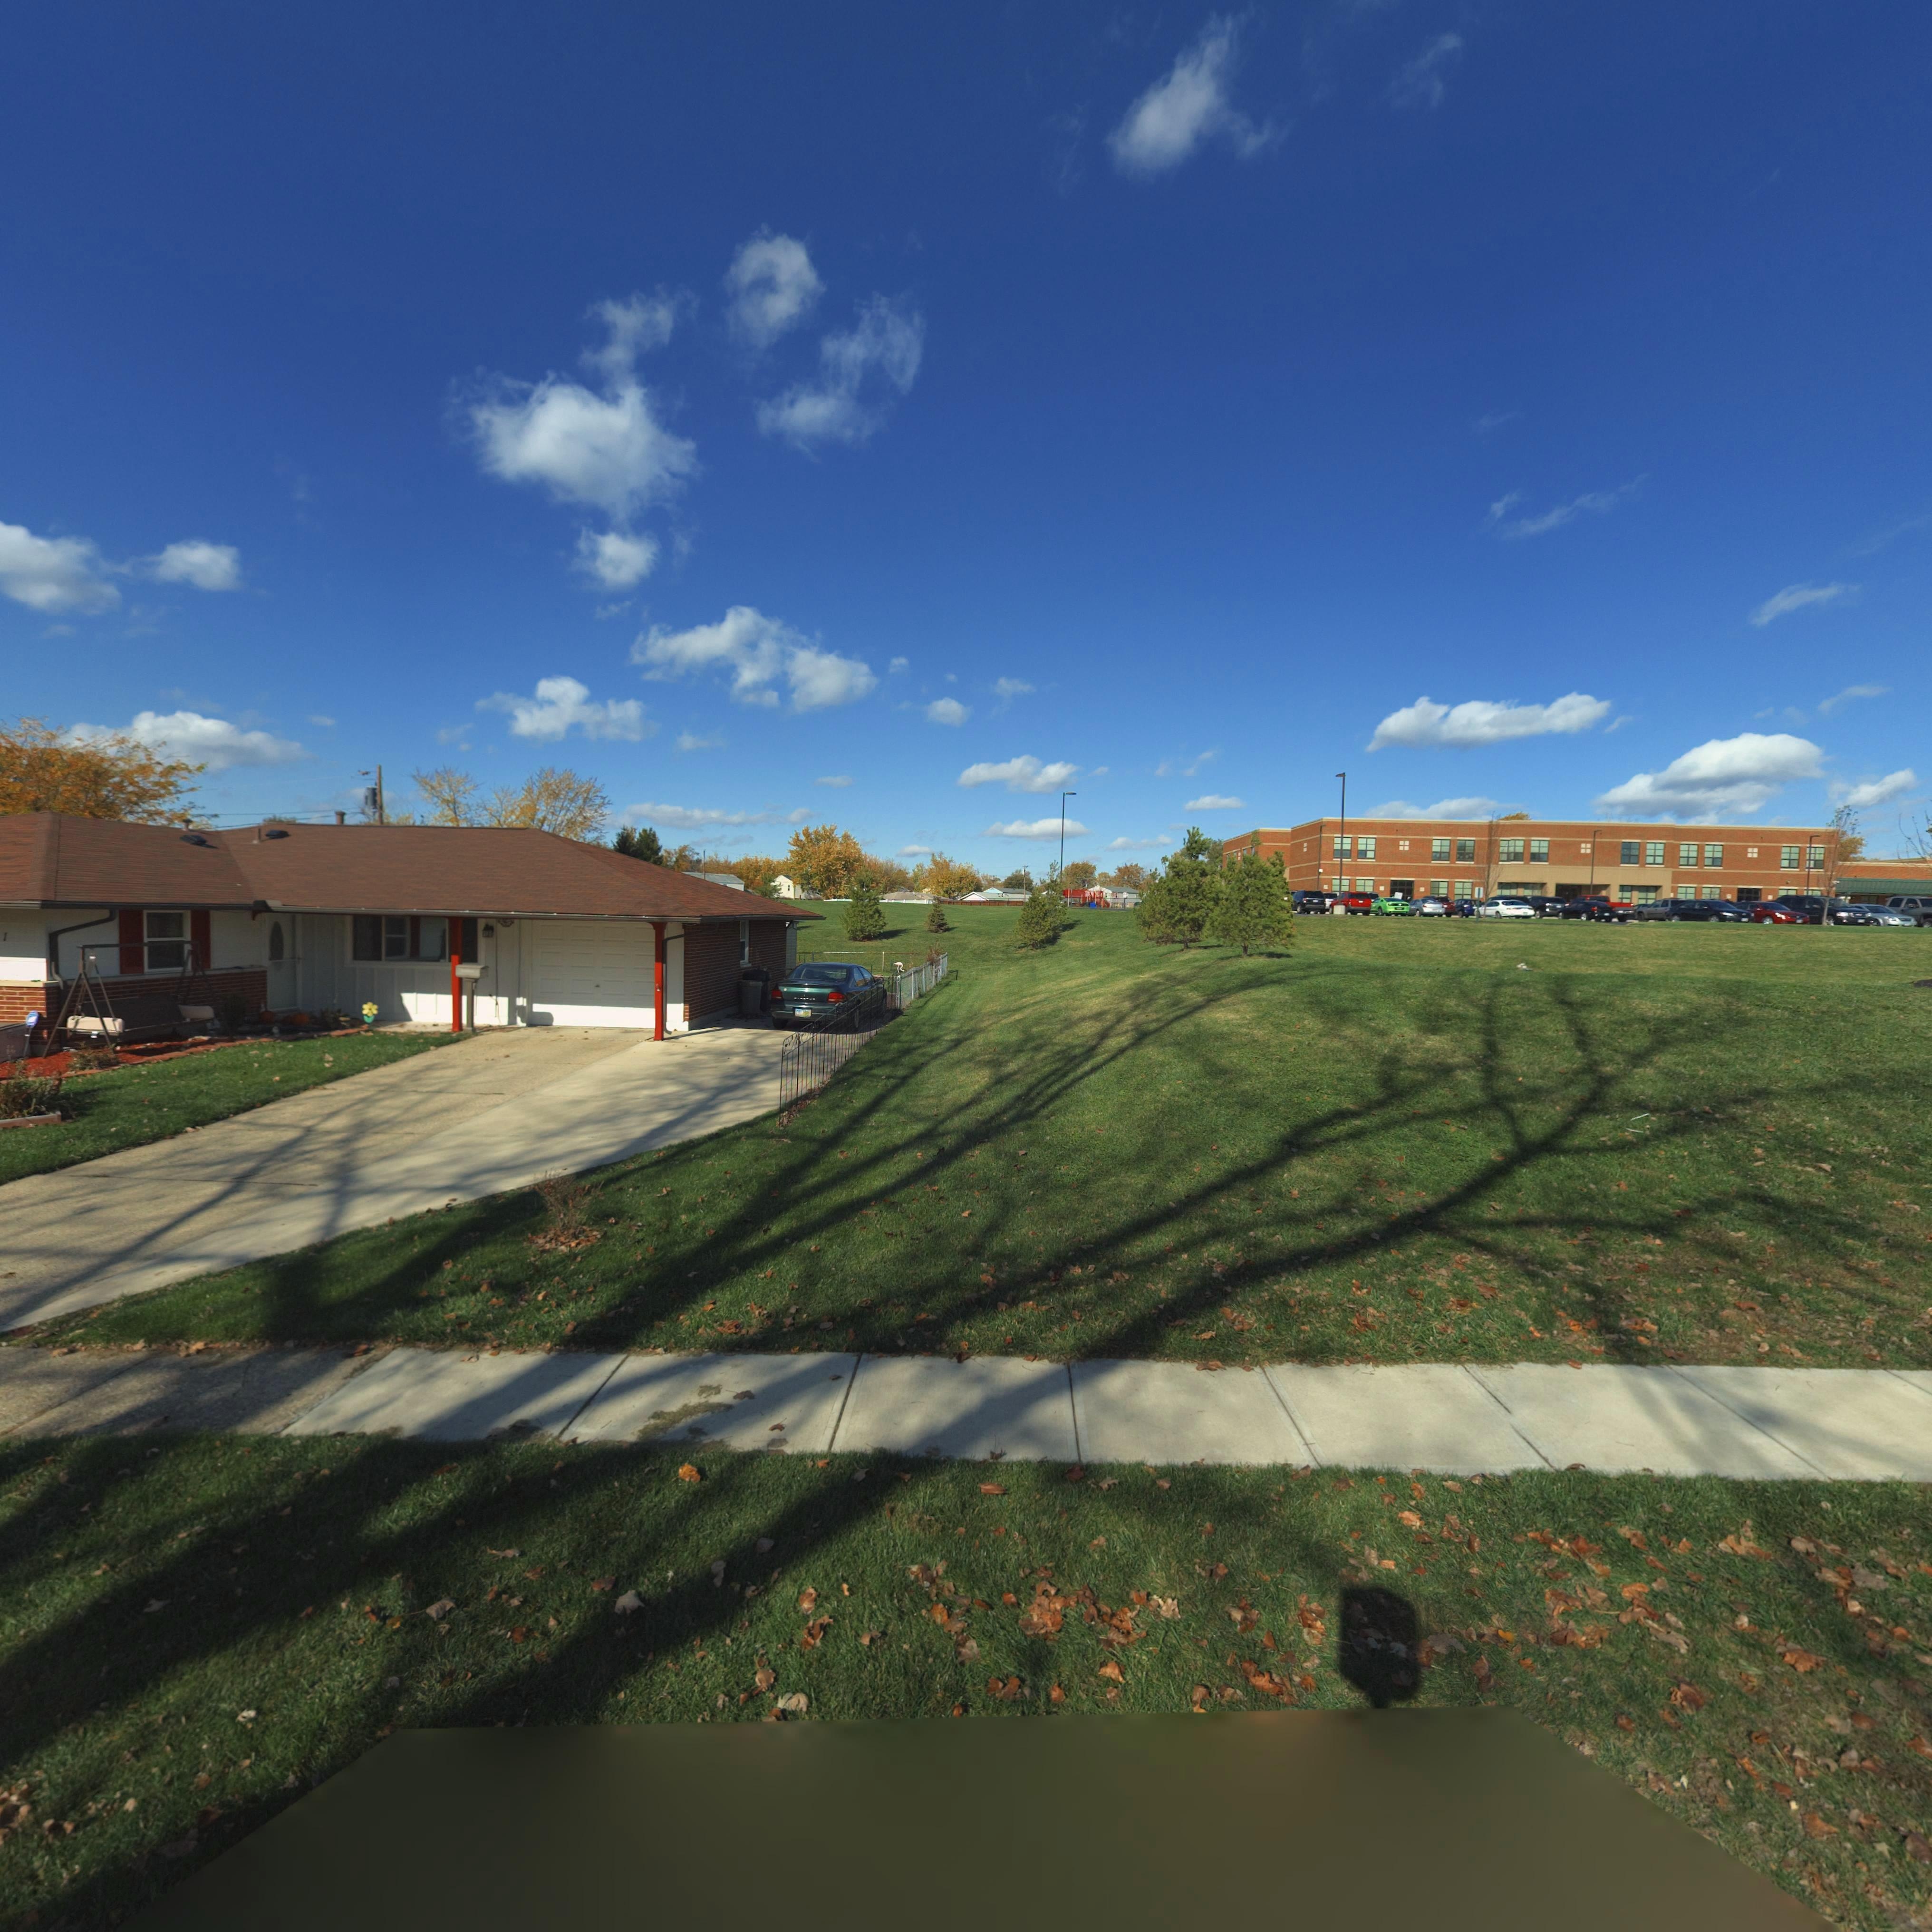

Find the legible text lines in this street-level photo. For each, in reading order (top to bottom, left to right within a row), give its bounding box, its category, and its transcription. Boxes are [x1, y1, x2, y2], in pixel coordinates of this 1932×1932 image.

[2, 932, 8, 942] StreetNumber: 1